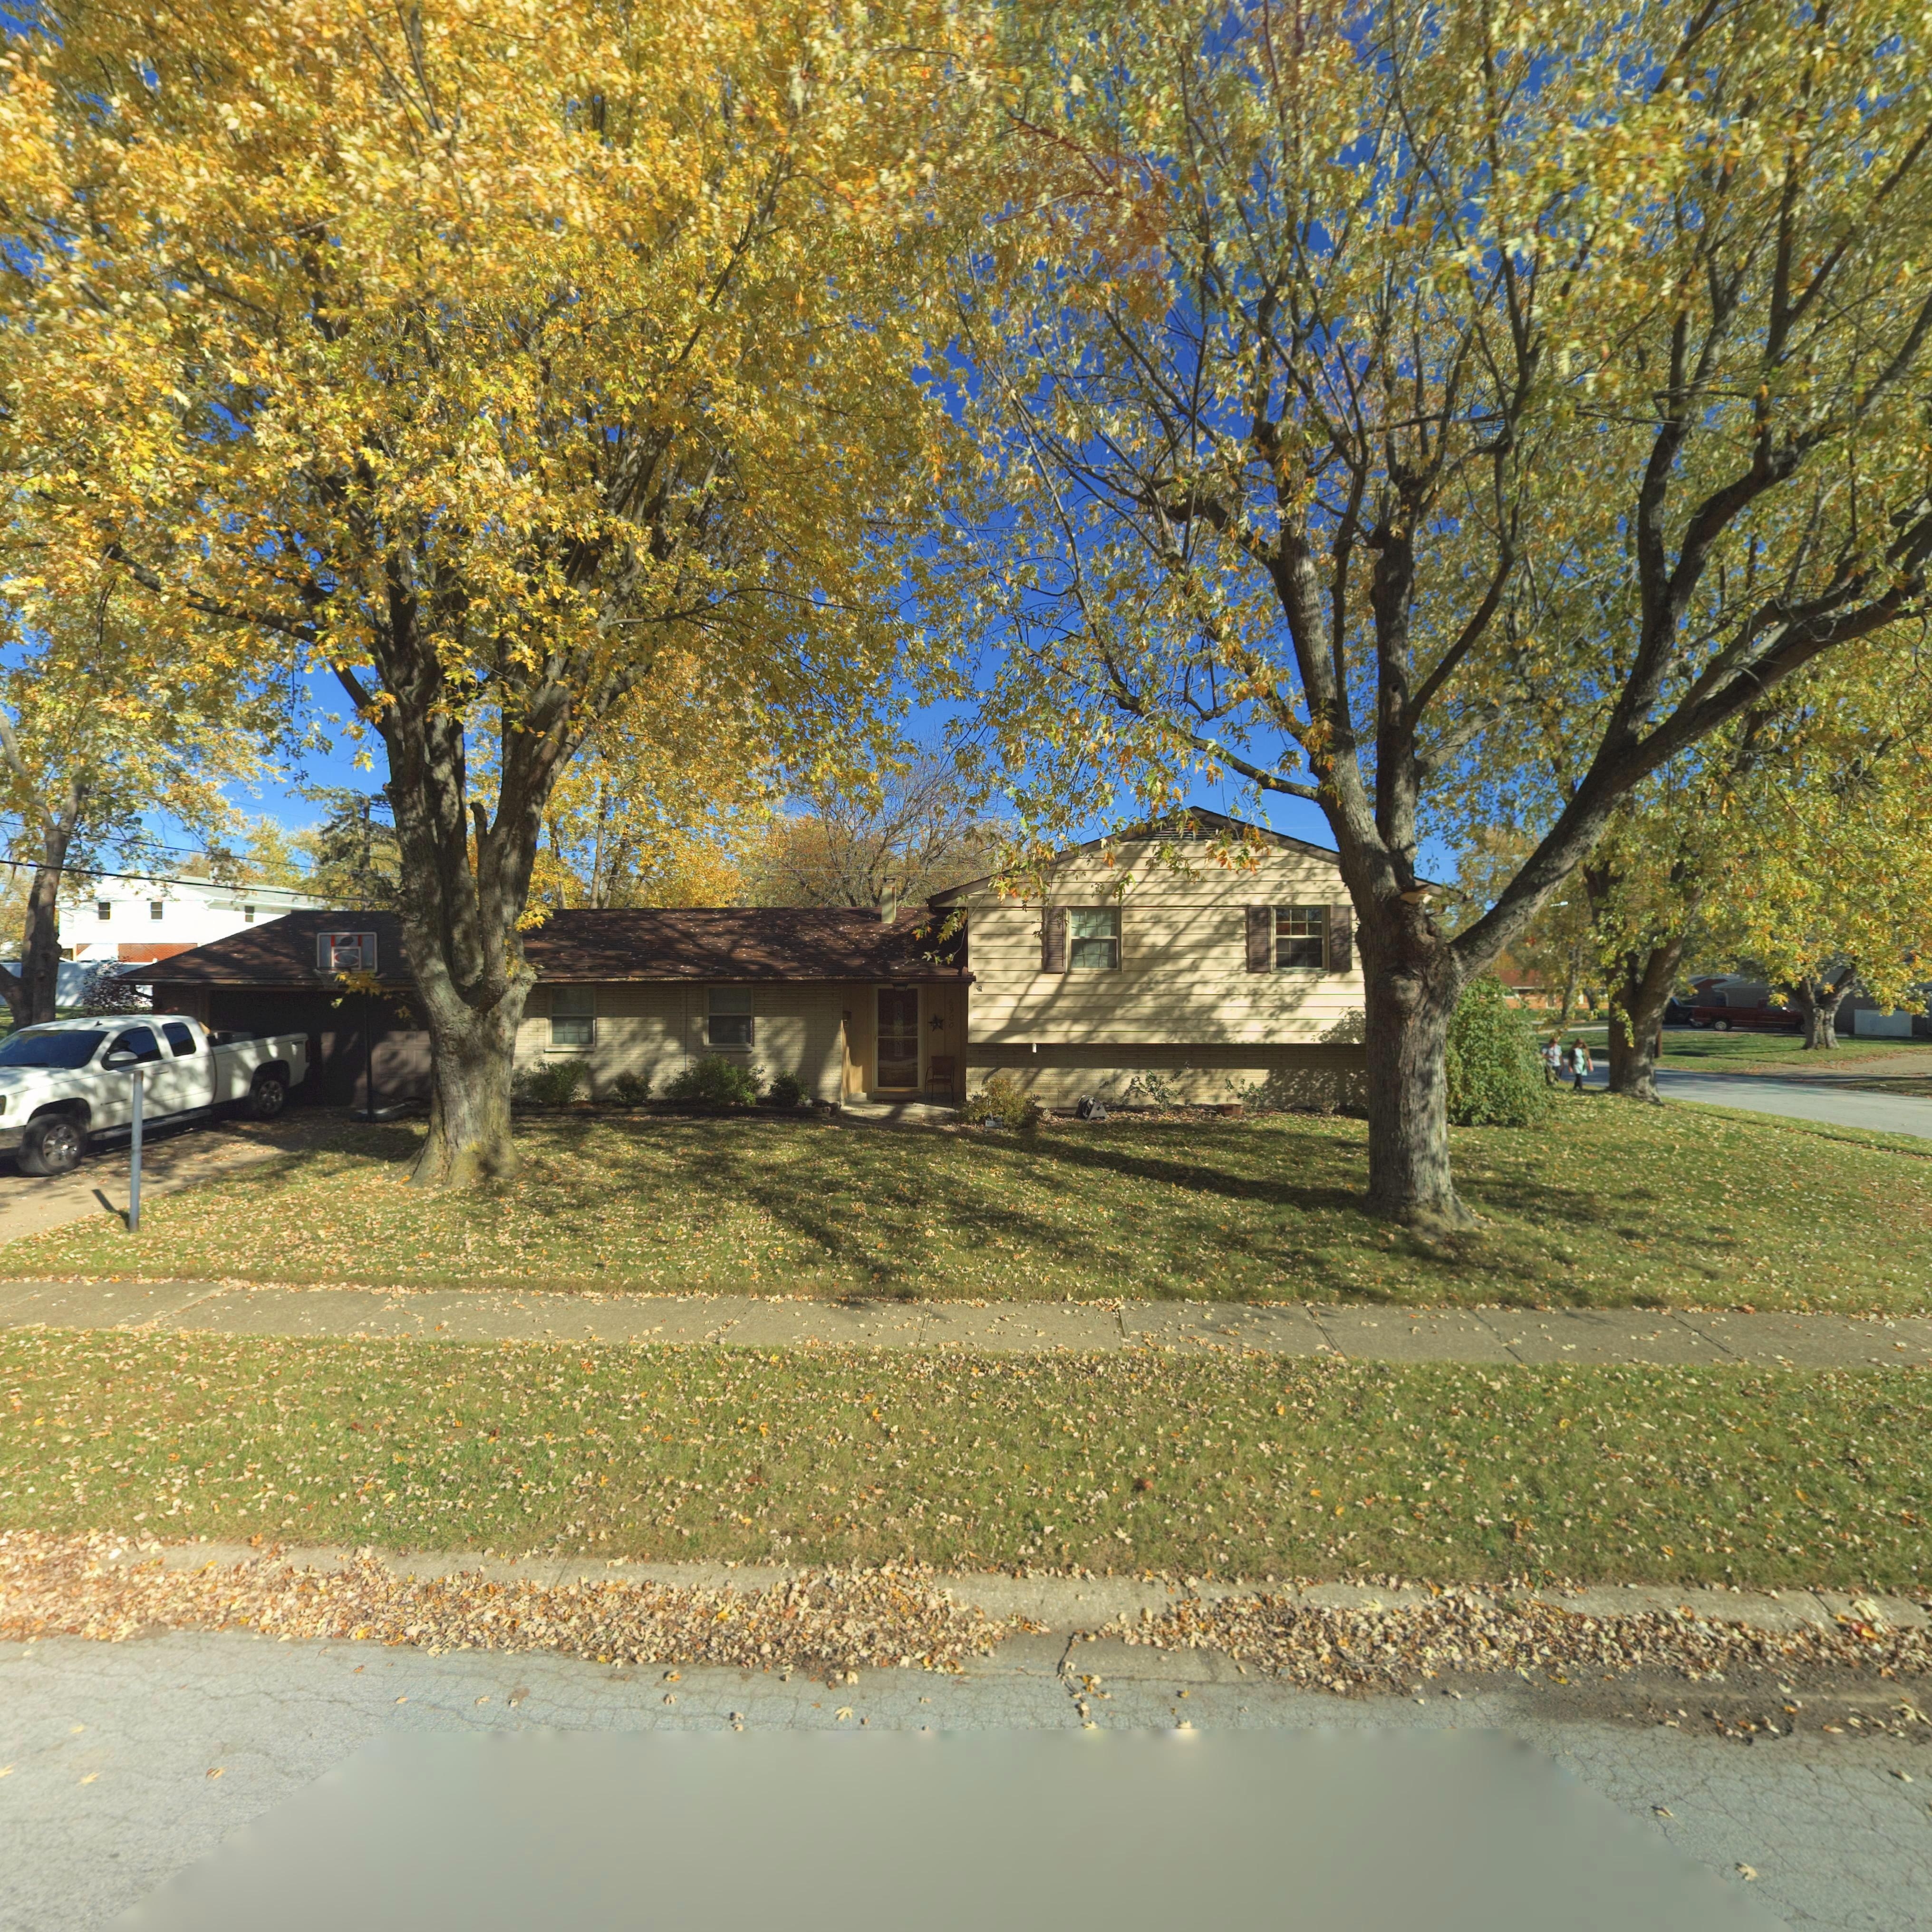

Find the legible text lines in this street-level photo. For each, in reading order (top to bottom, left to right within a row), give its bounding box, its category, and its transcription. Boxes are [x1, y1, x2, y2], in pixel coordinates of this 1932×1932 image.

[947, 997, 956, 1030] StreetNumber: 6900